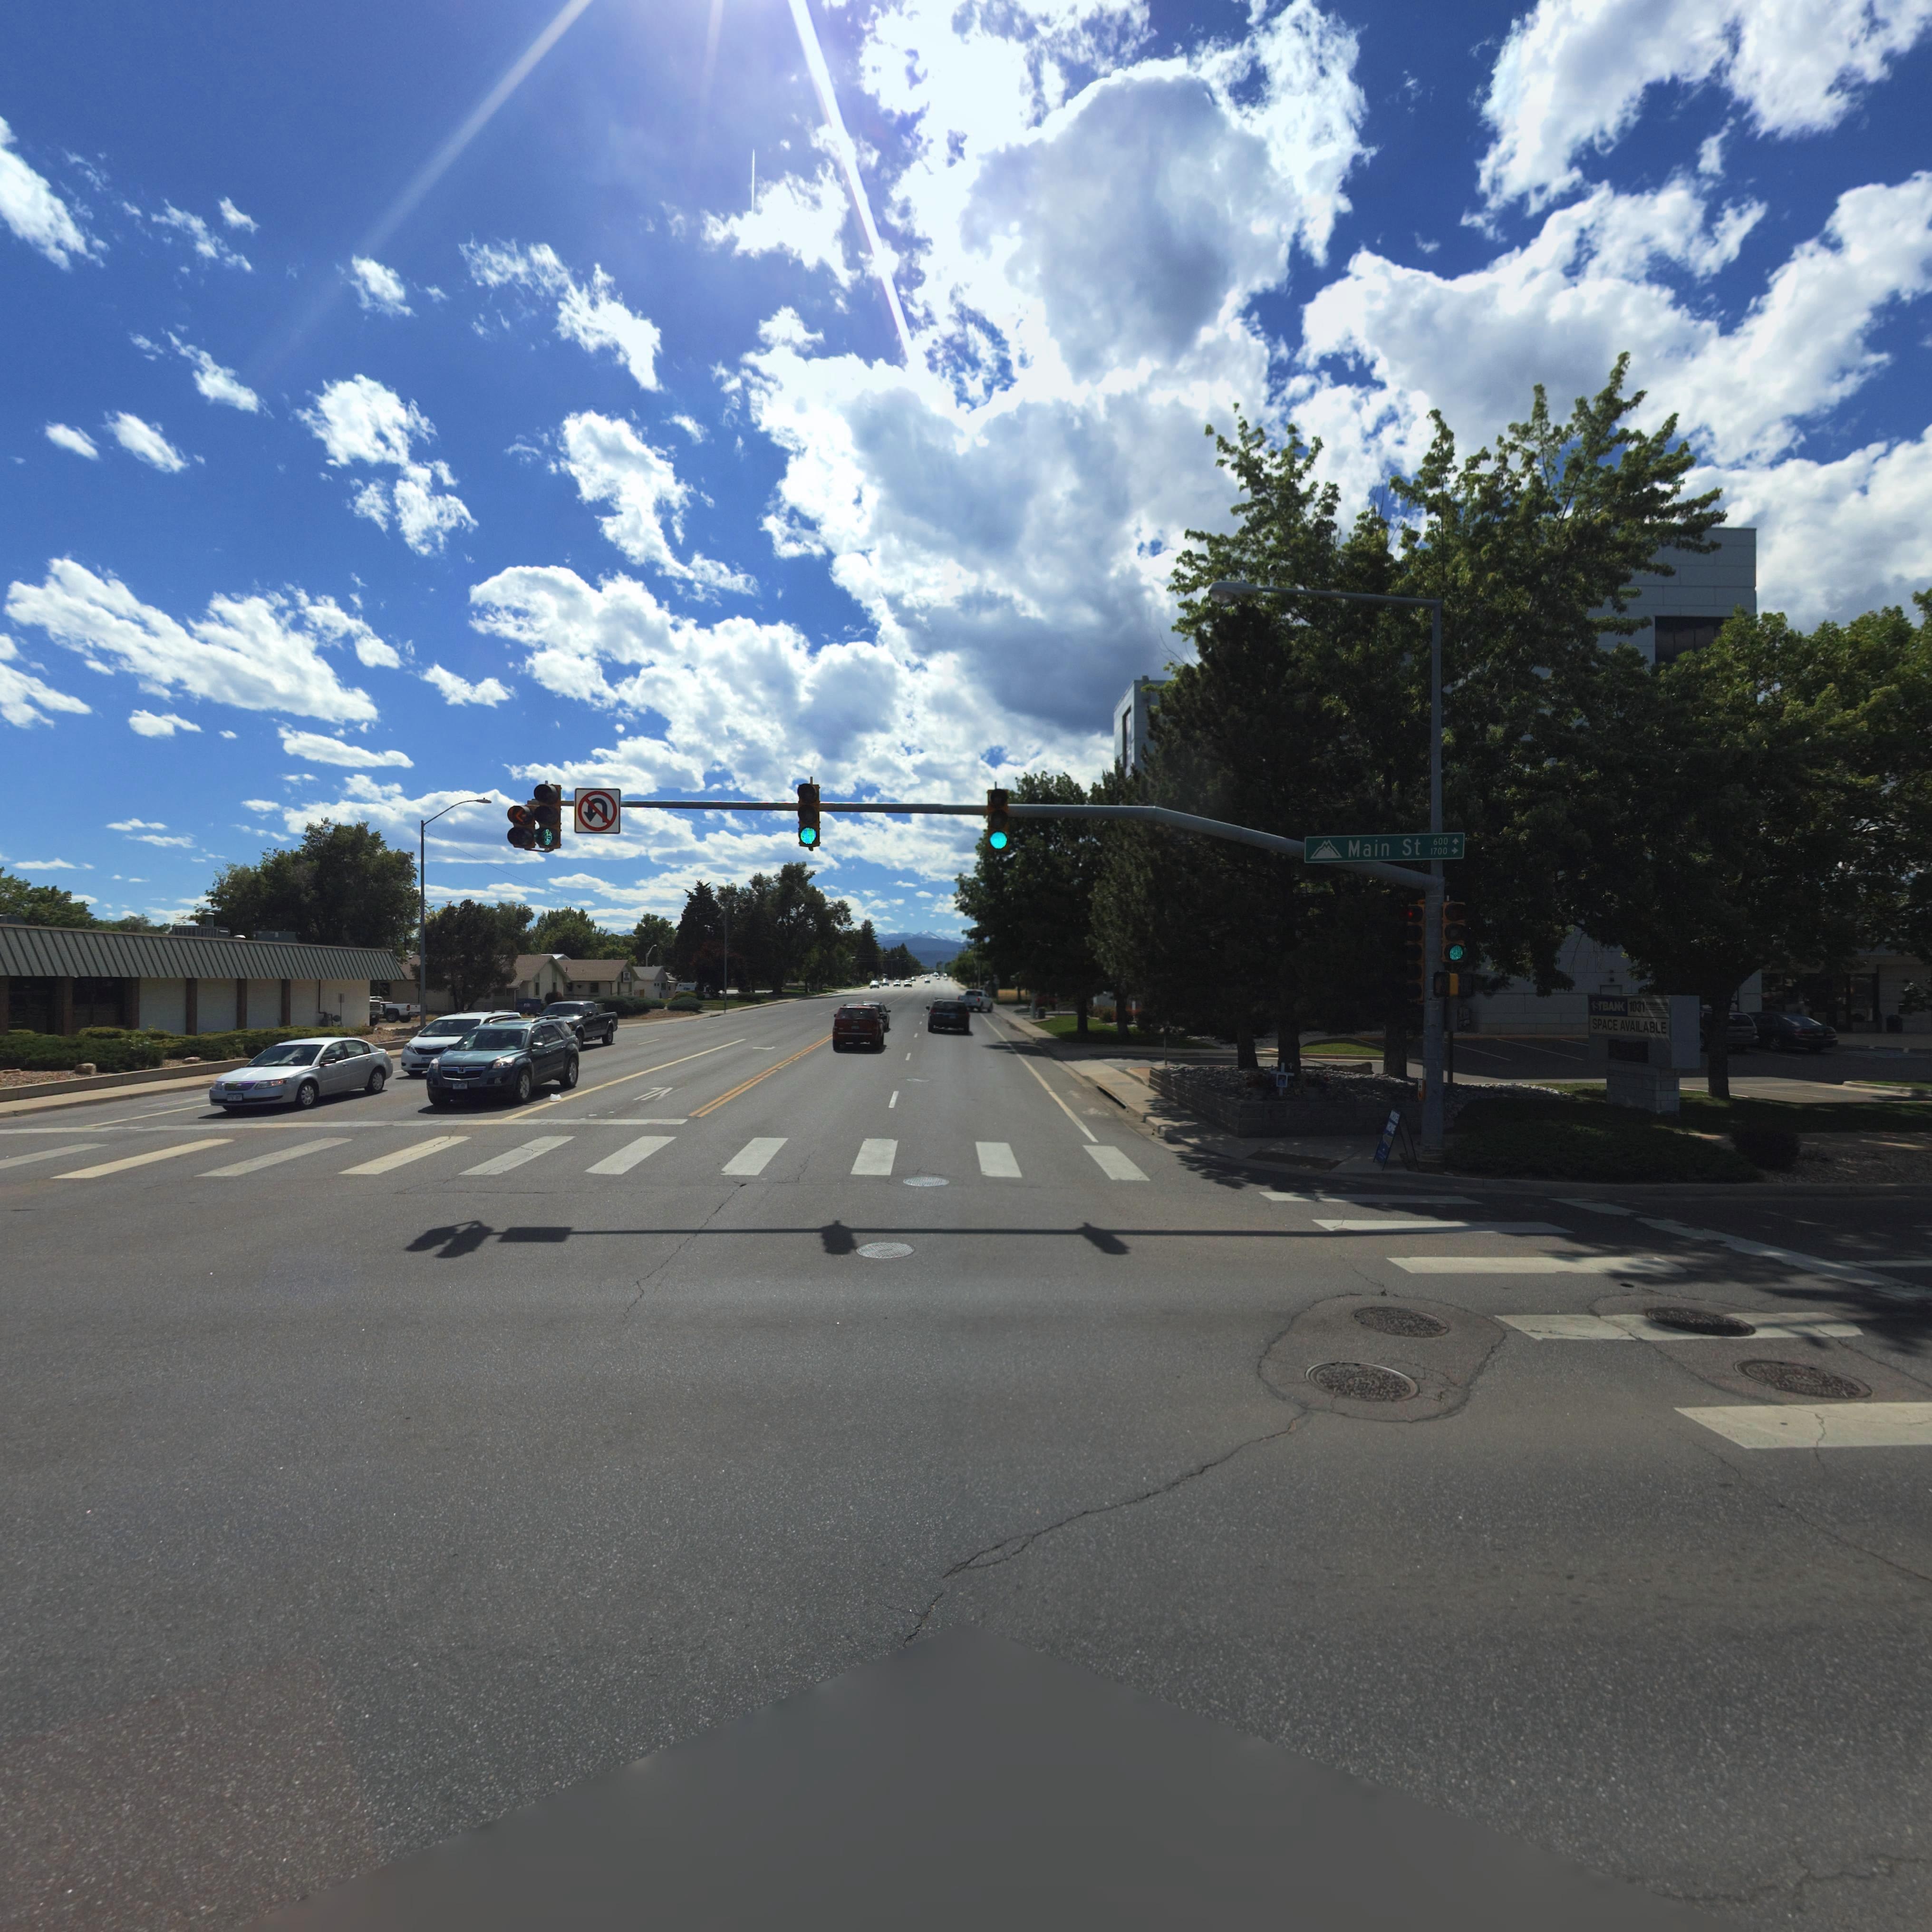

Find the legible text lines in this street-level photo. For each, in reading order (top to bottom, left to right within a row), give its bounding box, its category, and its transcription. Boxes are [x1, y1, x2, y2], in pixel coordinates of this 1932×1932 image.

[1432, 837, 1449, 846] StreetNumberRange: 600
[1347, 837, 1421, 858] StreetName: Main St
[1429, 847, 1459, 855] StreetNumberRange: 1700 ->
[1590, 1000, 1625, 1012] BusinessName: 1STBAN*